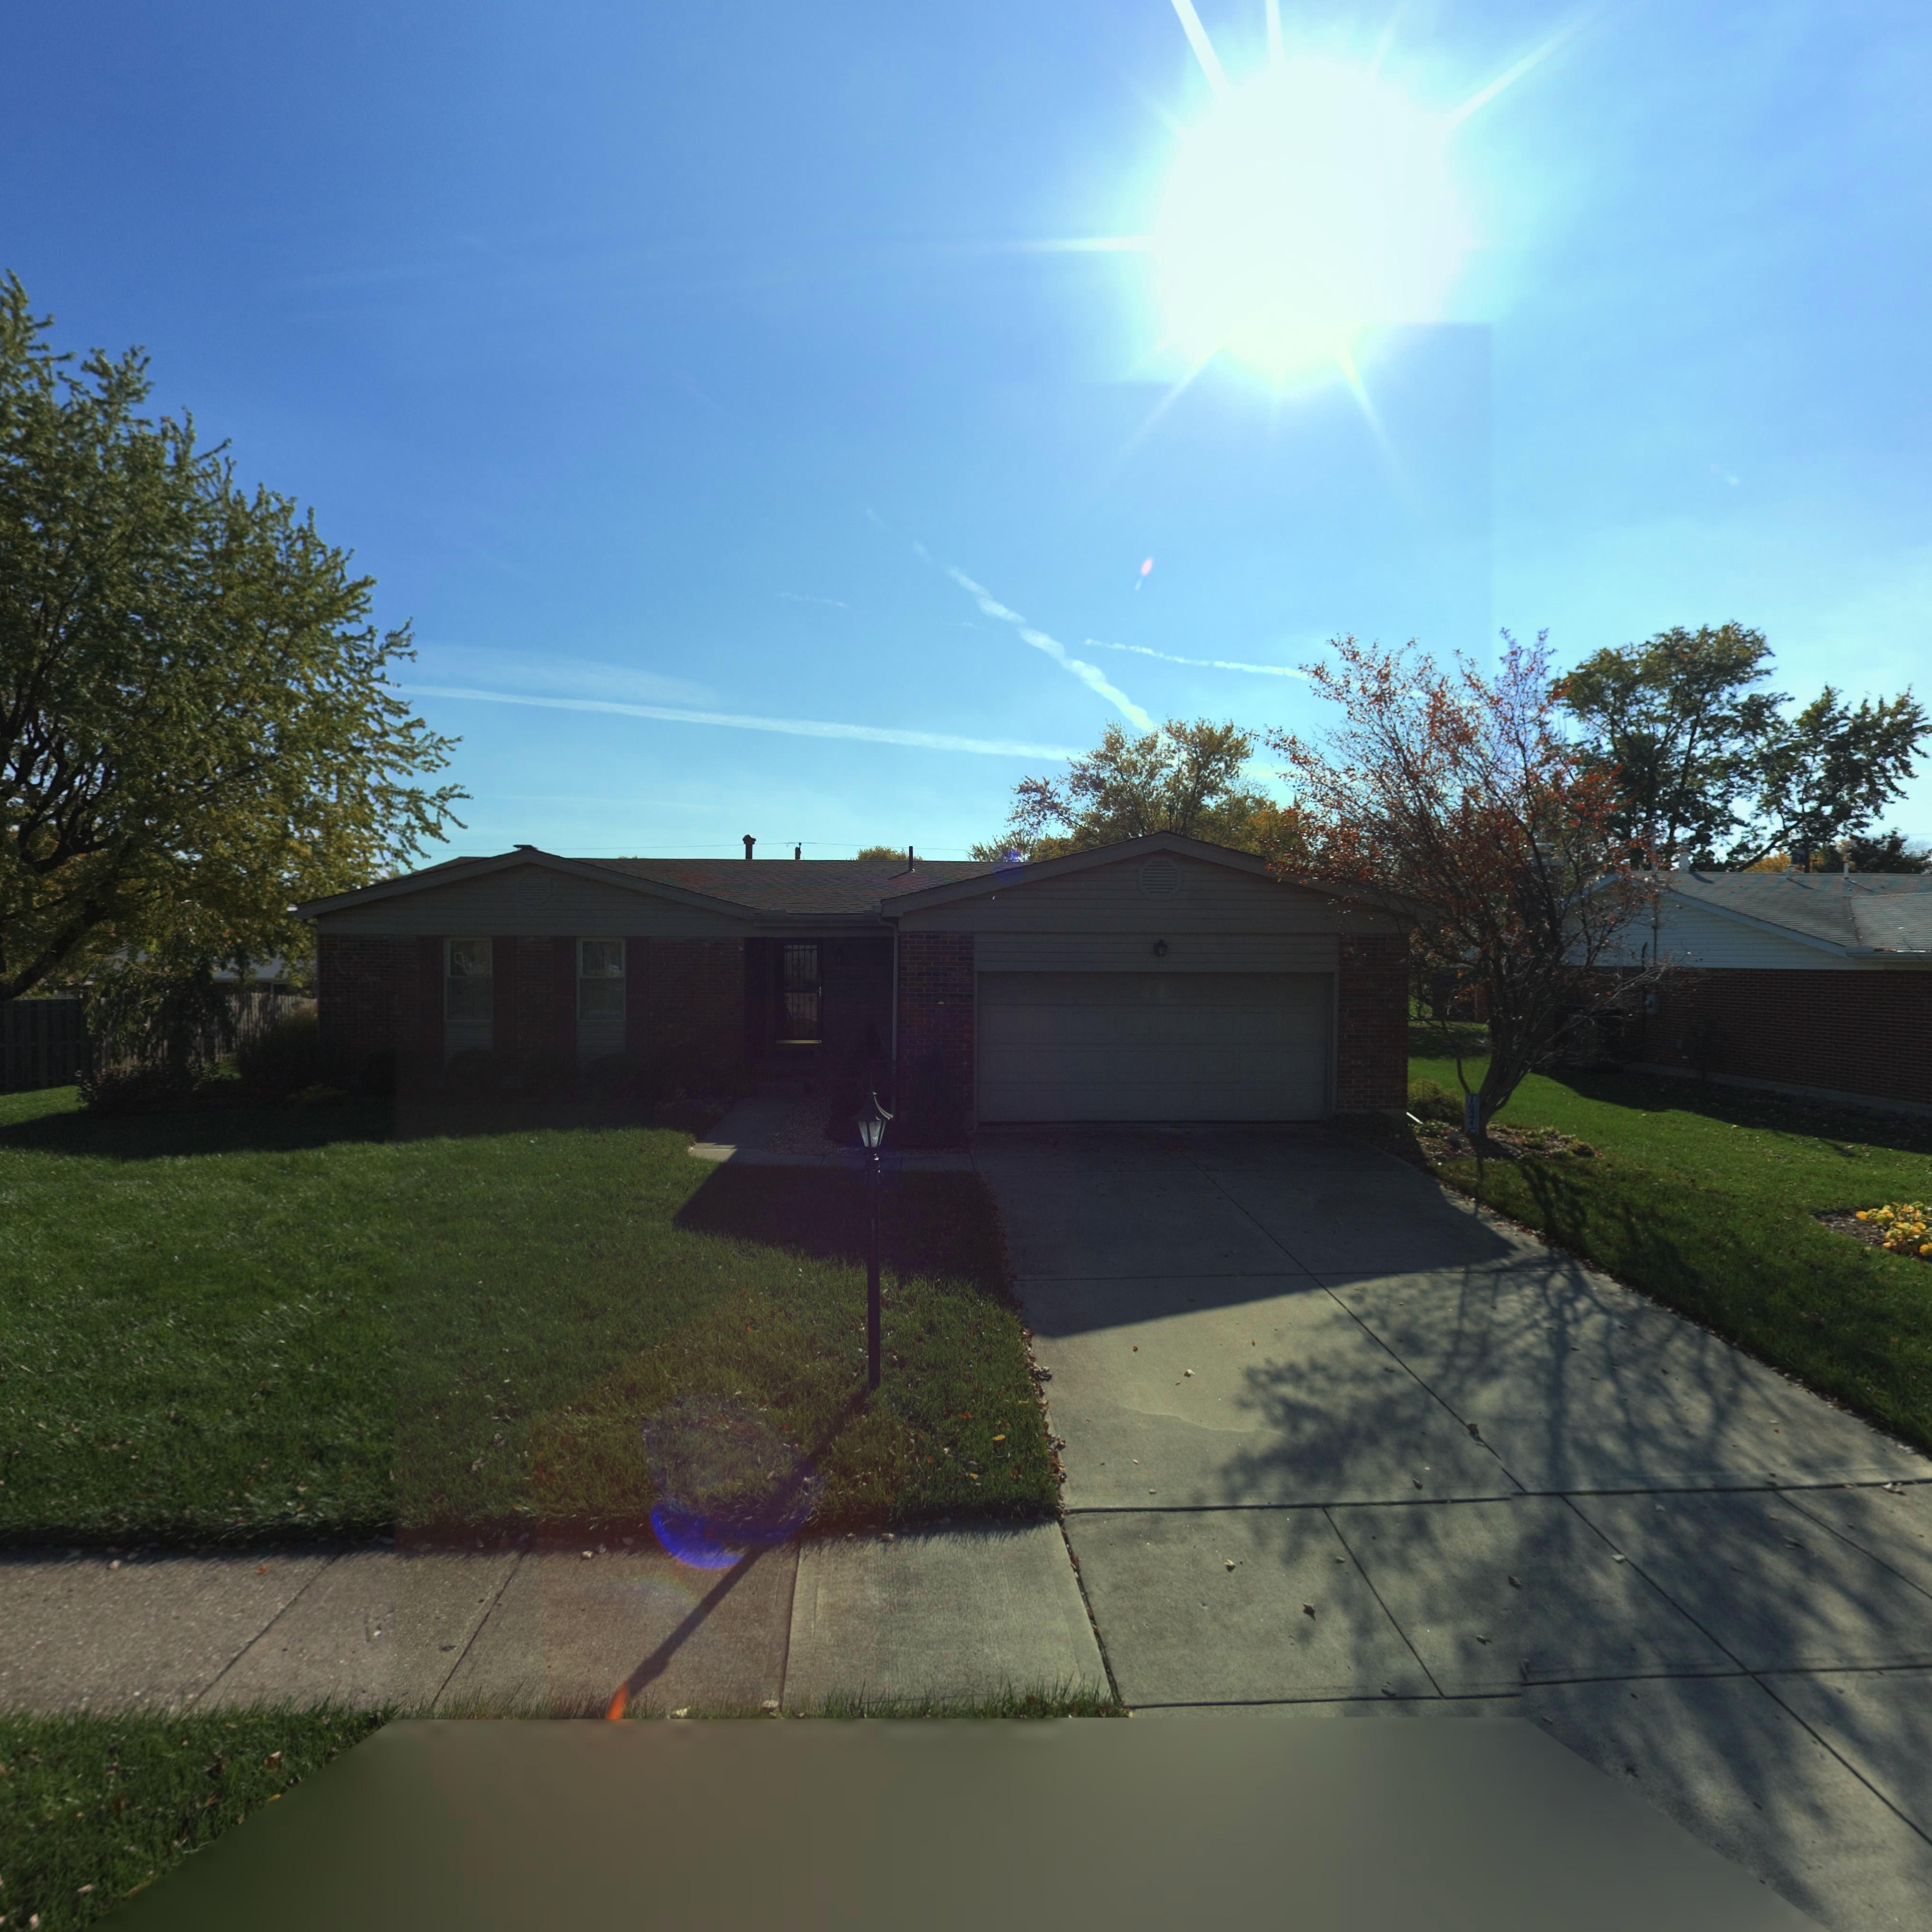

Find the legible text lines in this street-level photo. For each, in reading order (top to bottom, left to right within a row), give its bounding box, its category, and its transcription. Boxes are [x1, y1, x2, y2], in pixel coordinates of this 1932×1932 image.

[1468, 1095, 1476, 1126] StreetNumber: 1024